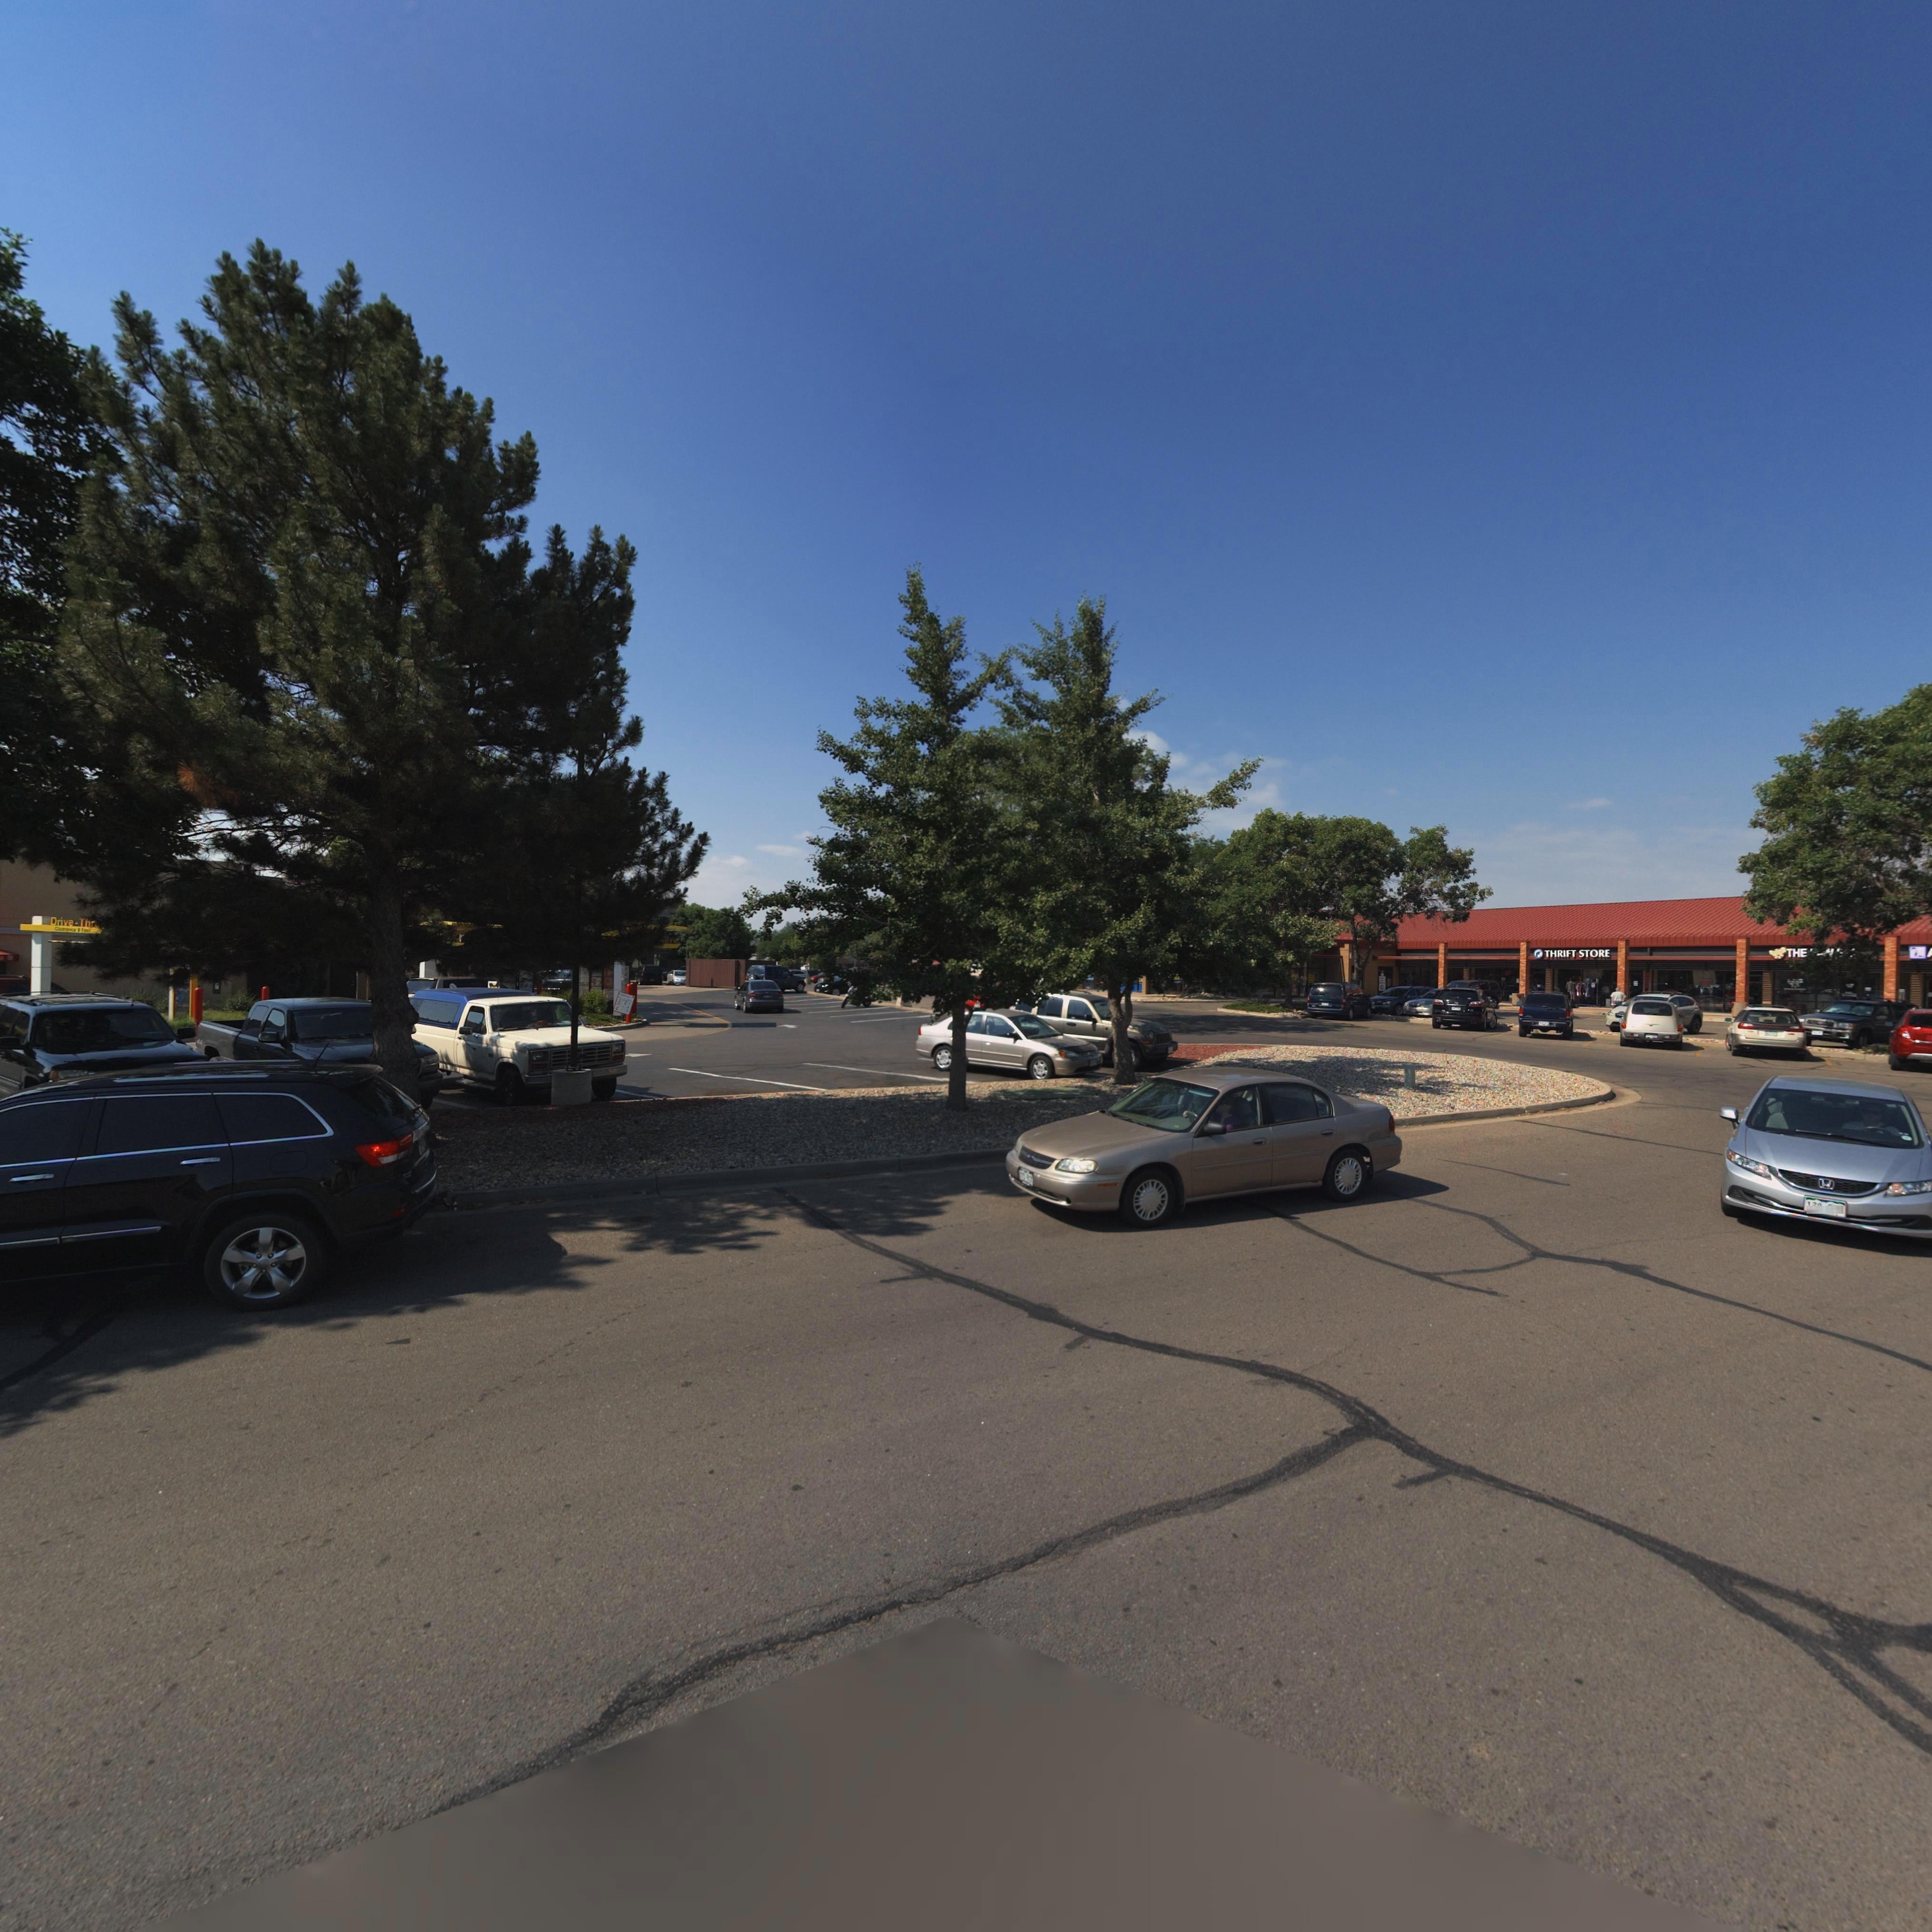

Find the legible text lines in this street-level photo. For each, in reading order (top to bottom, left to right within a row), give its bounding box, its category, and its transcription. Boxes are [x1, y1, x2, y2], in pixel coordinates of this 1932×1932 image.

[1786, 947, 1835, 958] BusinessName: THE ***